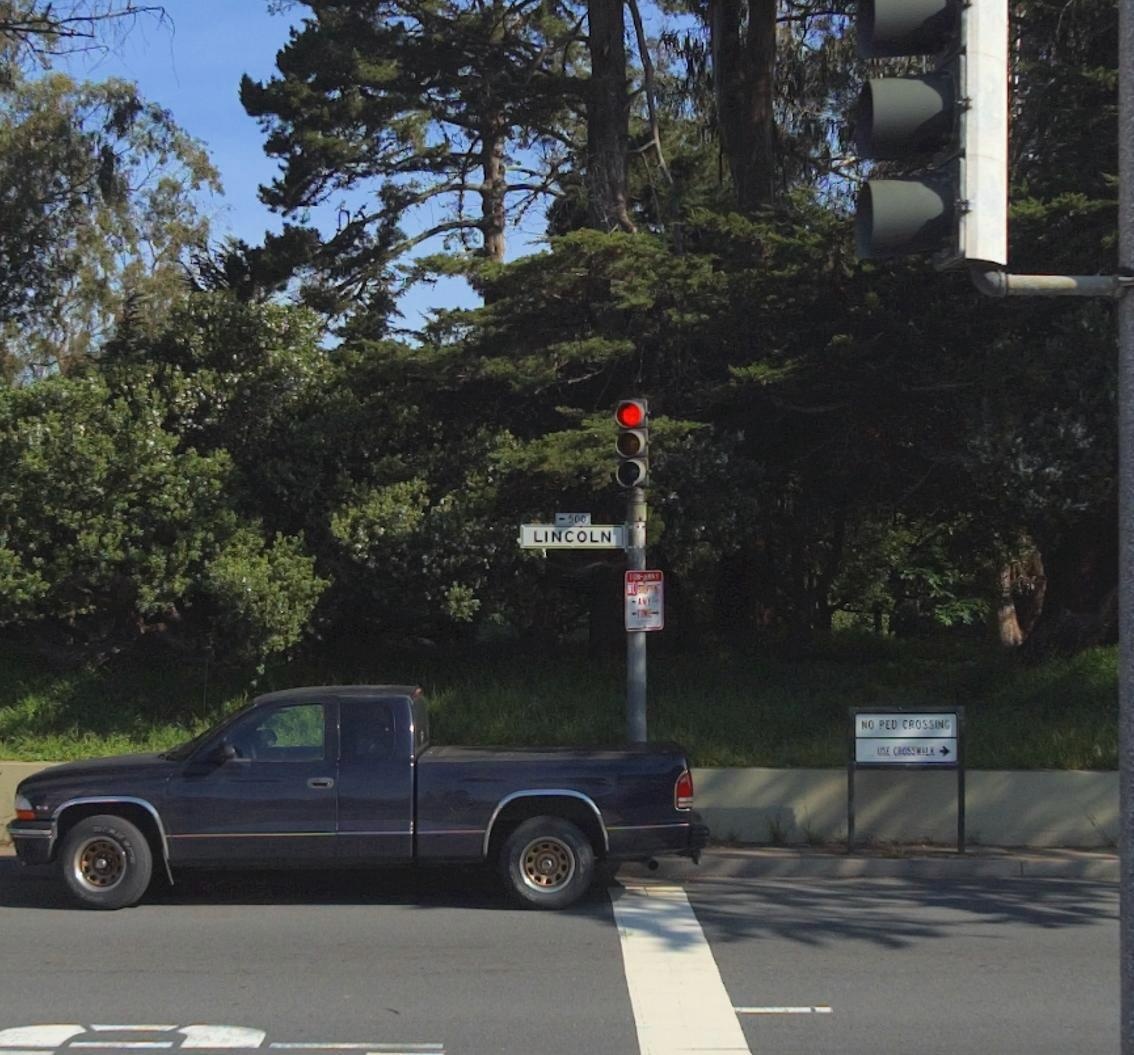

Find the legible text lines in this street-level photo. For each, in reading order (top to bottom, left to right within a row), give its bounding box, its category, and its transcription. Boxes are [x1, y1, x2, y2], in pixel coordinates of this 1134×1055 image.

[556, 511, 589, 525] StreetNumberRange: <-500
[531, 528, 612, 545] StreetName: LINCOLN
[637, 596, 651, 605] None: ANY
[860, 718, 951, 730] None: NO PED CROSSING
[874, 745, 935, 756] None: USE CROSSWALK